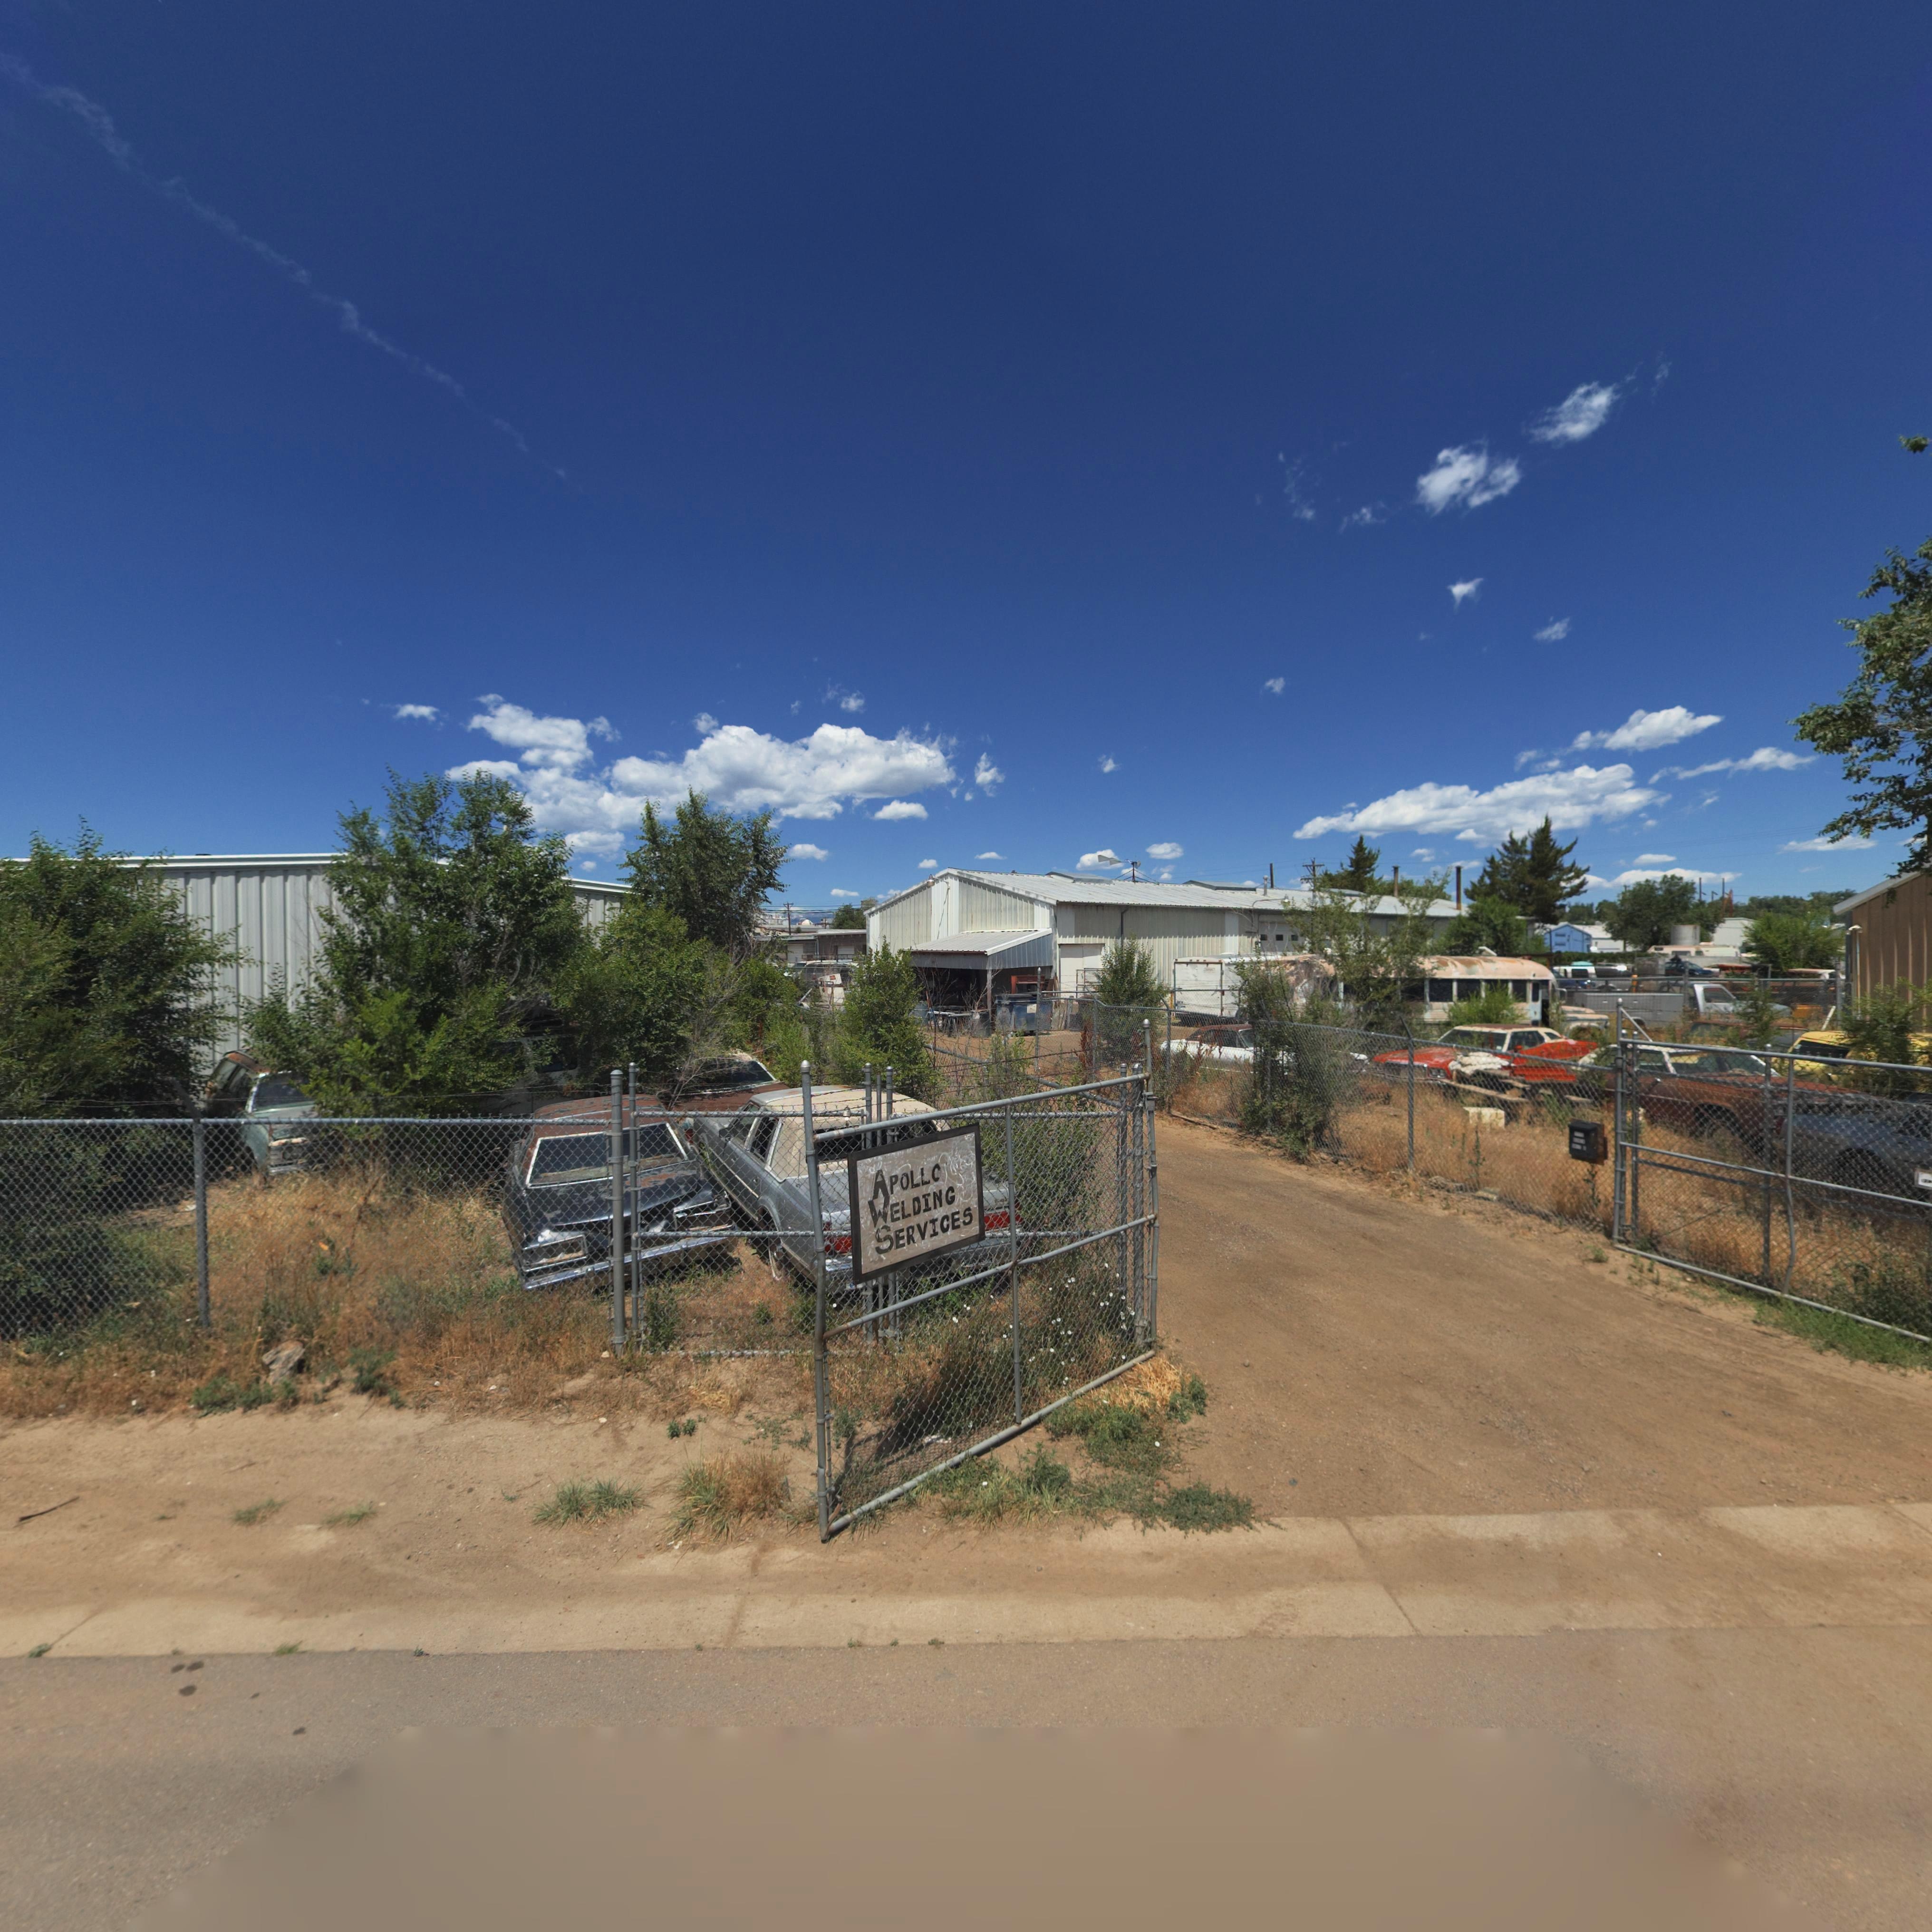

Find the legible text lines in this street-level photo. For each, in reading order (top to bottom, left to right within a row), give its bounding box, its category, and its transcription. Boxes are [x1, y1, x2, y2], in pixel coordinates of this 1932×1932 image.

[868, 1162, 943, 1199] BusinessName: APOLLC
[865, 1184, 960, 1228] BusinessName: WELDING
[869, 1206, 975, 1256] BusinessName: SERVICES